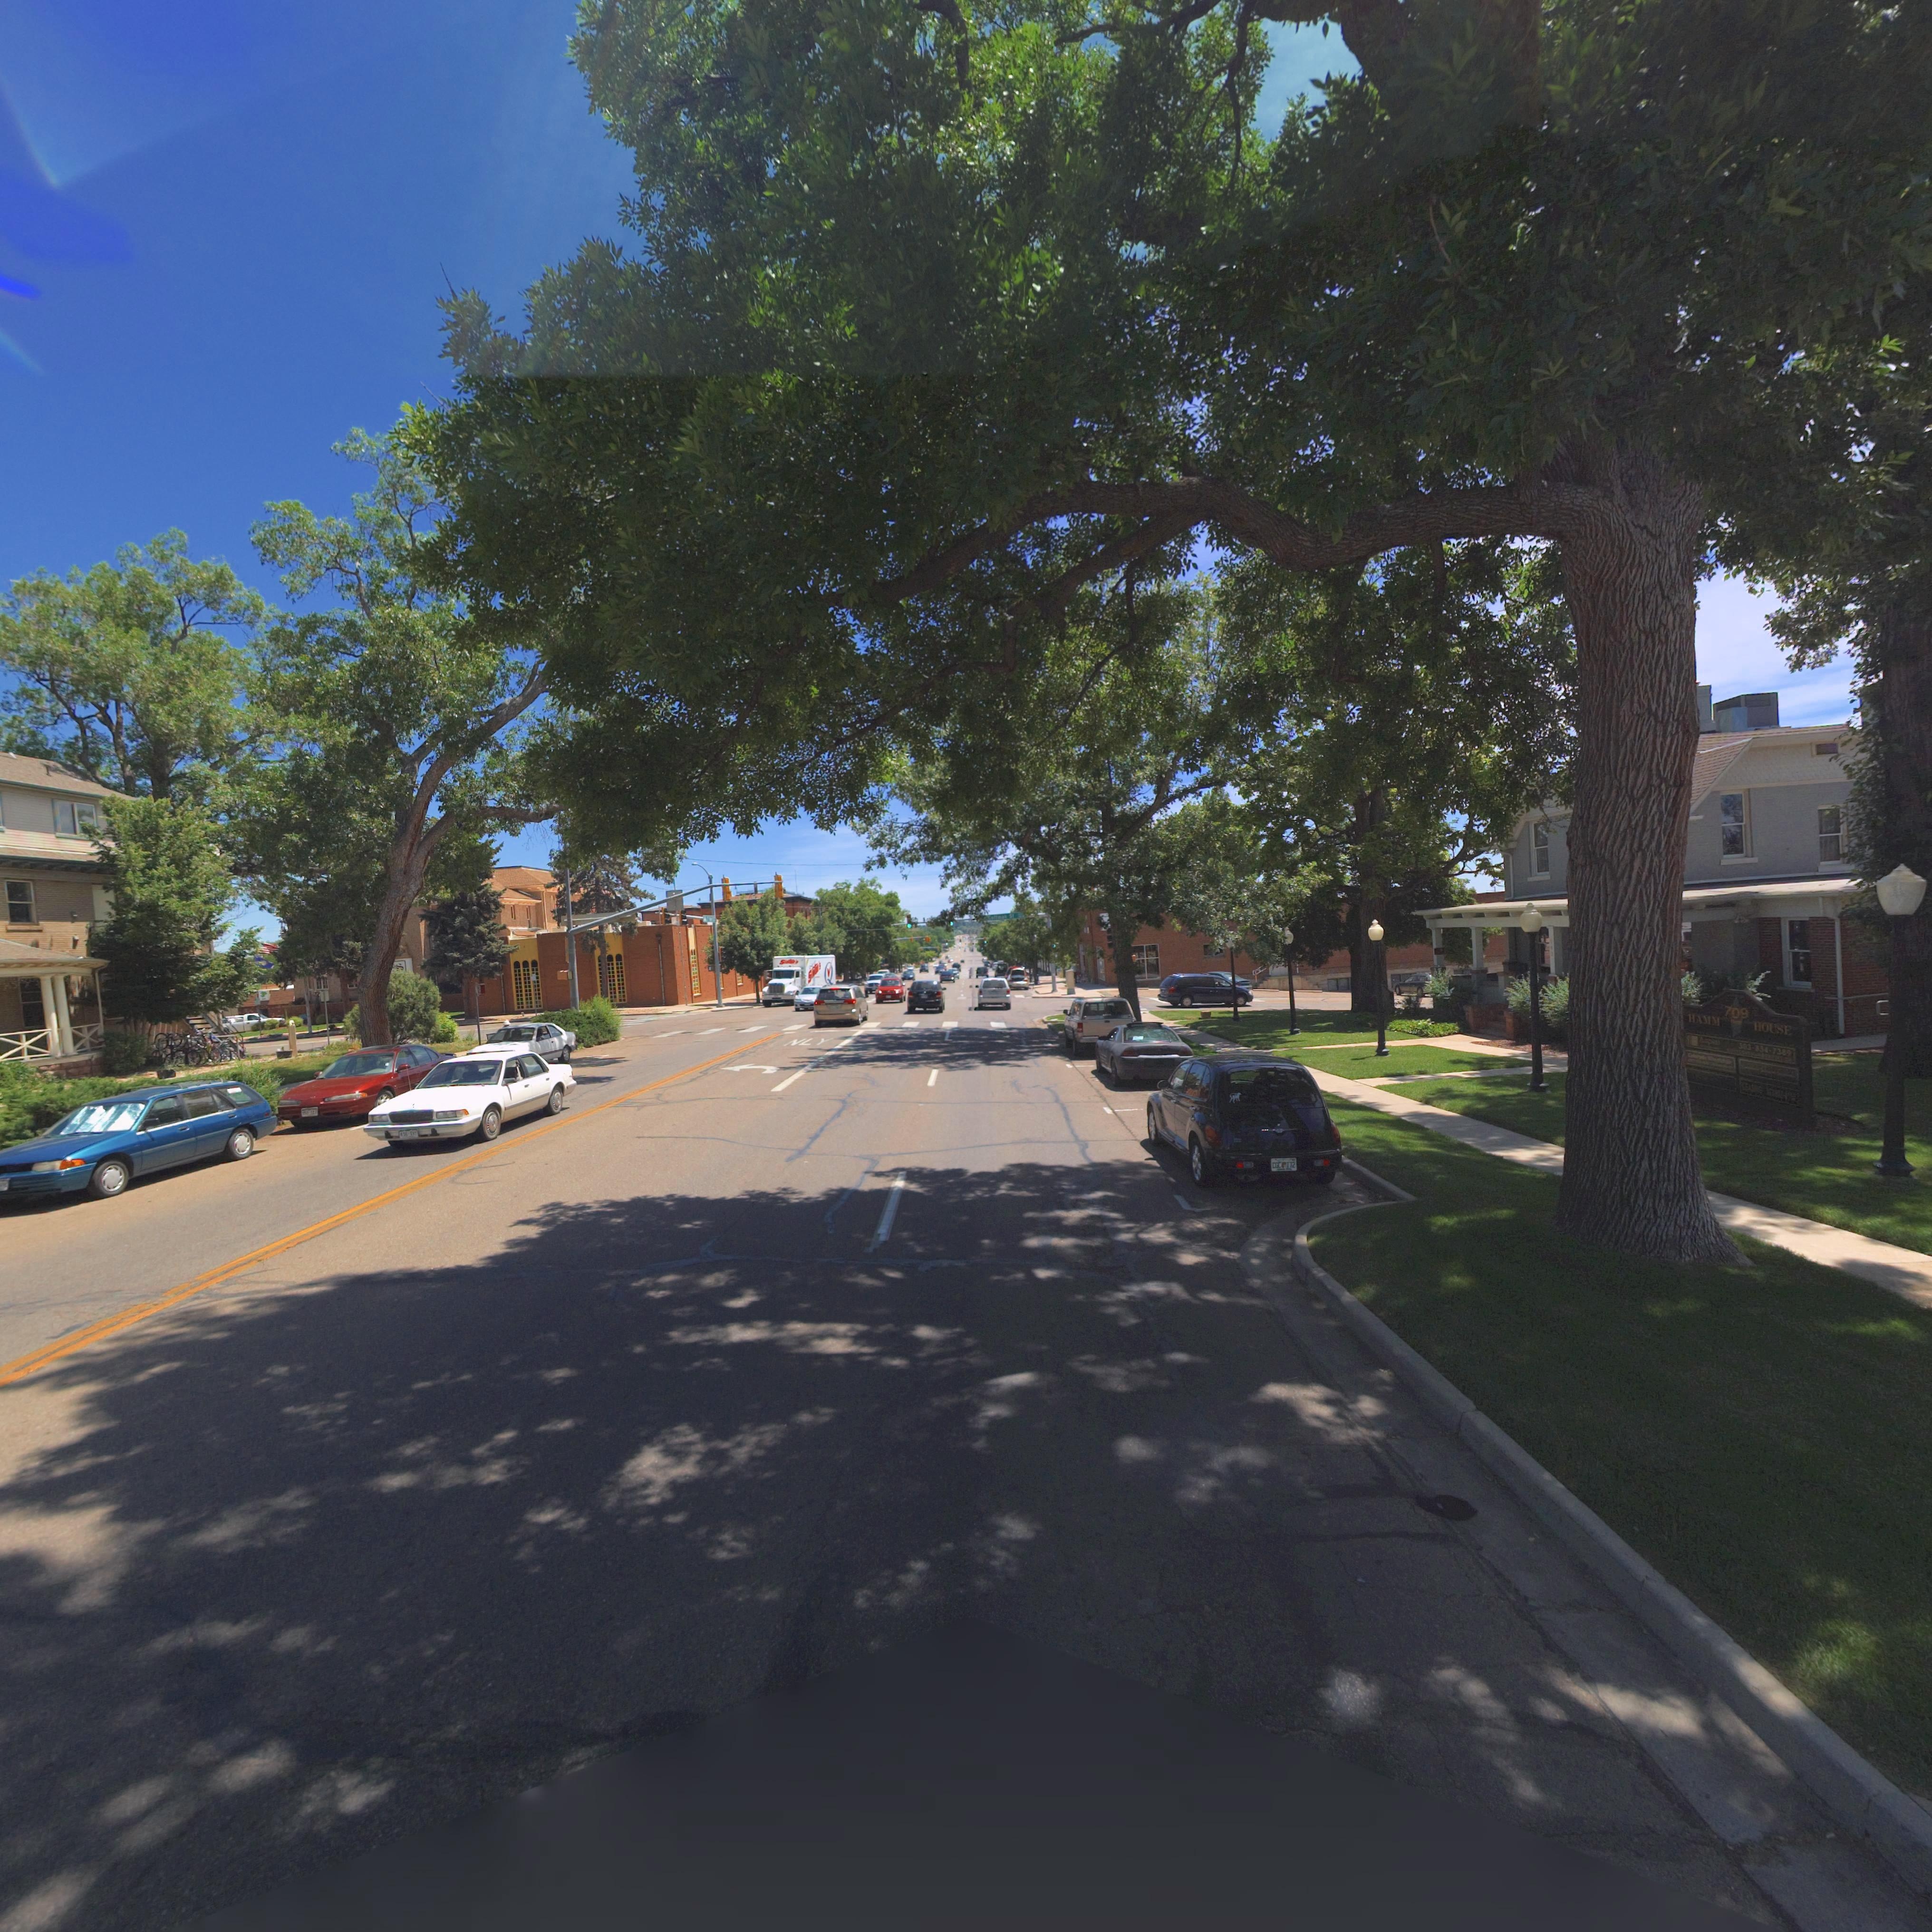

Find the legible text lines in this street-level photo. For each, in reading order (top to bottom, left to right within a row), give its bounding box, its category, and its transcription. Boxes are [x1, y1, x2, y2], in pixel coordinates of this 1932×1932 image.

[988, 913, 1014, 920] StreetName: Coffman St
[1724, 1005, 1749, 1019] StreetNumber: 709
[1698, 1035, 1720, 1046] BusinessName: Aspen
[1687, 1052, 1732, 1065] BusinessName: Colorado W*********